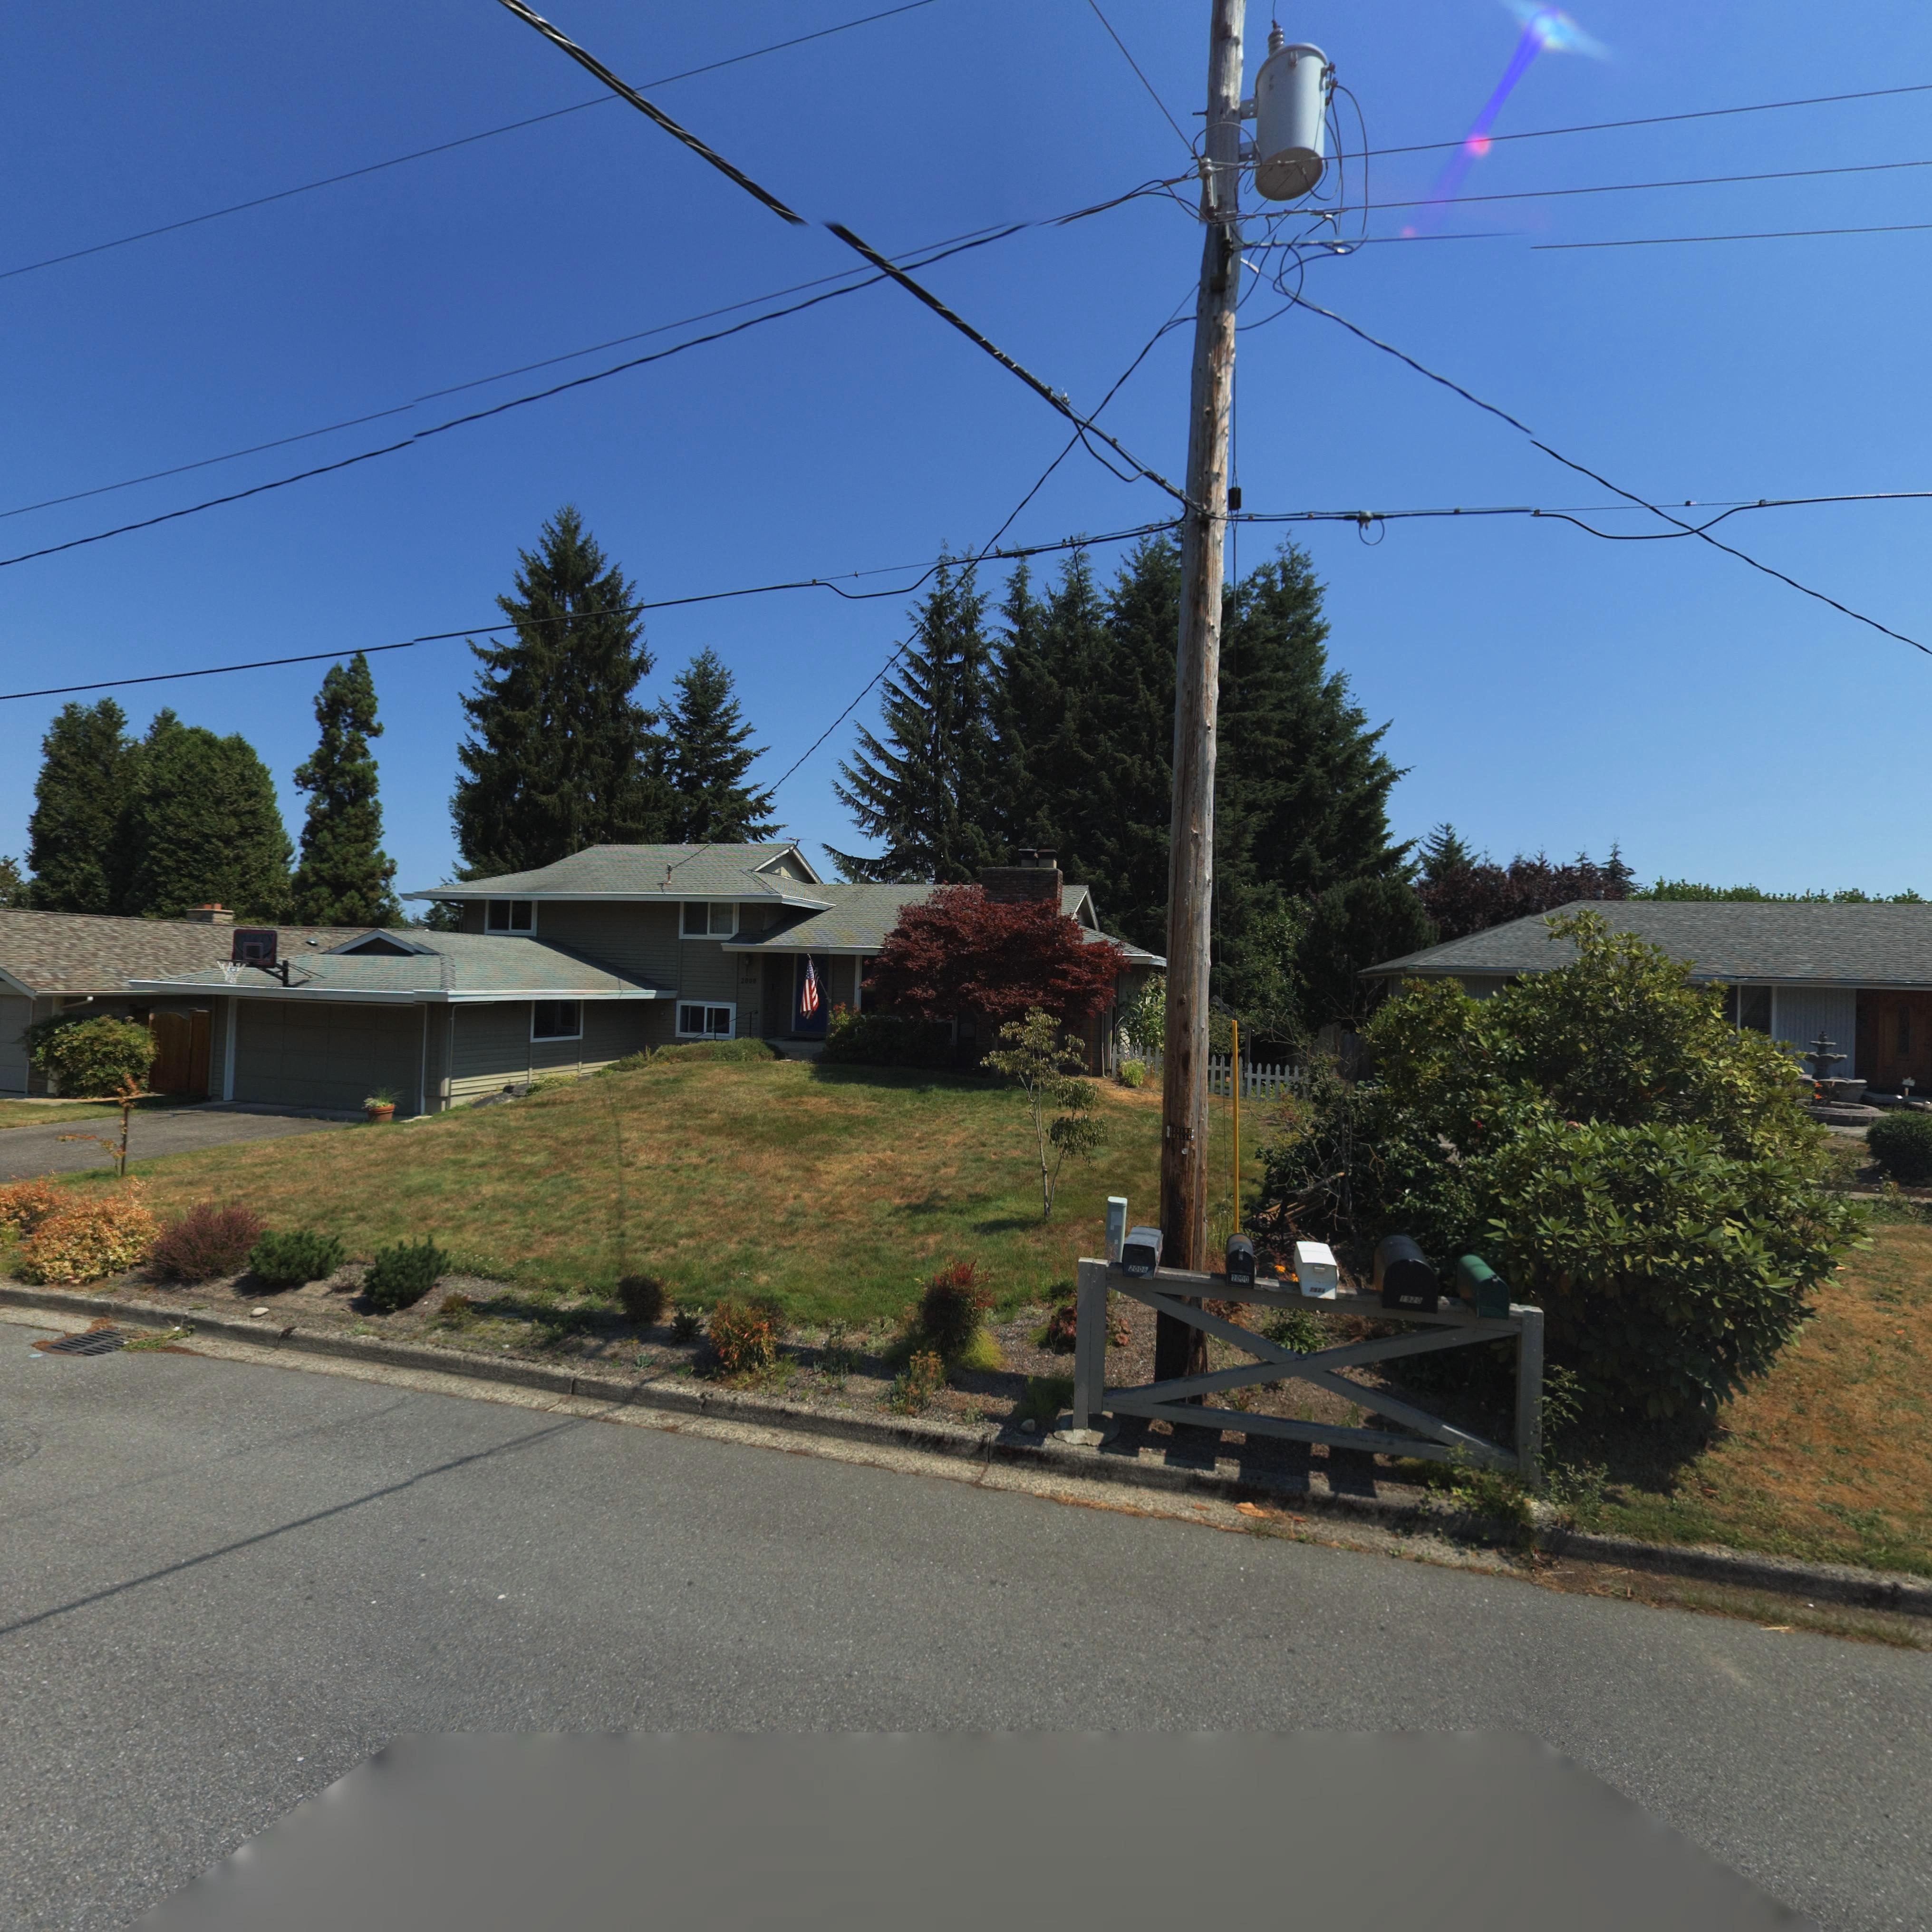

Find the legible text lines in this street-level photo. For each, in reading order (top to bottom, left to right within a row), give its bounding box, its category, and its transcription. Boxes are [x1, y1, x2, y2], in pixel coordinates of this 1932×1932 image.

[741, 977, 756, 984] StreetNumber: 2000
[1128, 1265, 1148, 1273] StreetNumber: 200*
[1231, 1274, 1249, 1283] StreetNumber: 2000
[1400, 1295, 1423, 1304] StreetNumber: 19*0